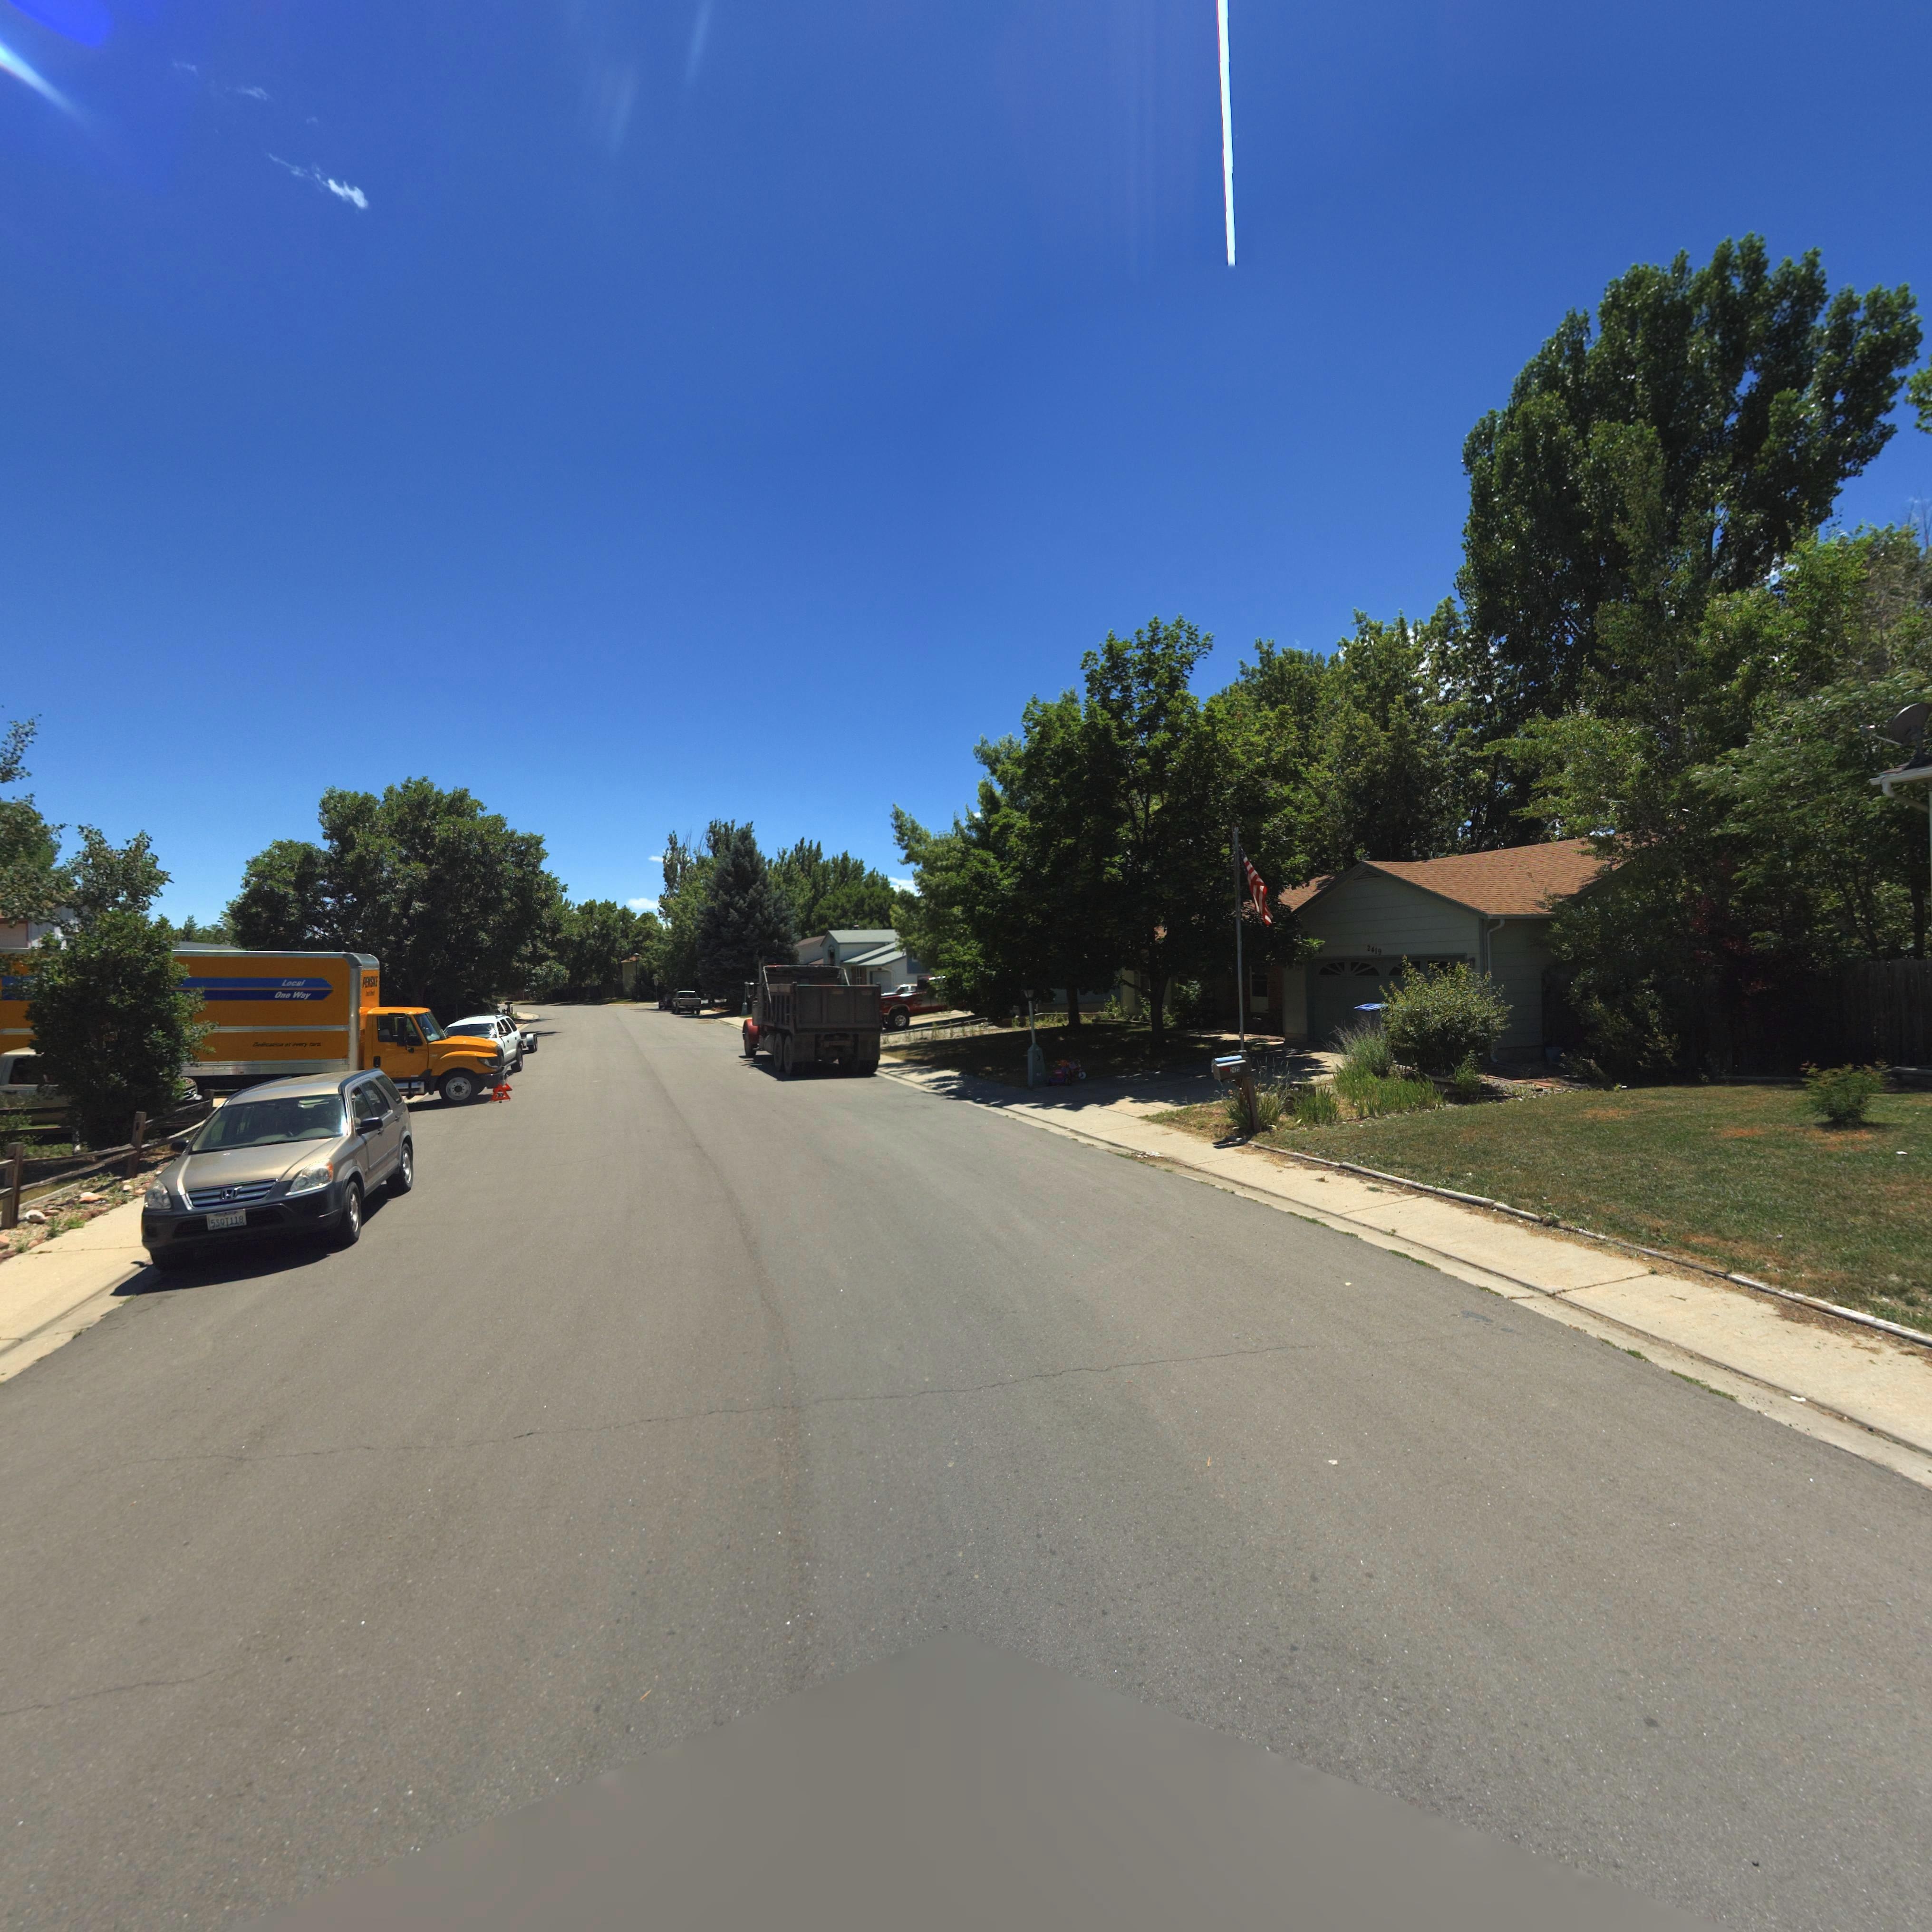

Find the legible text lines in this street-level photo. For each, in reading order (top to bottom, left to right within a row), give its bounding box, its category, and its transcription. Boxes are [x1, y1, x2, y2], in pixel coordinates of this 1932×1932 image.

[1366, 944, 1383, 956] StreetNumber: 2419
[1230, 1066, 1240, 1073] StreetNumber: 24**